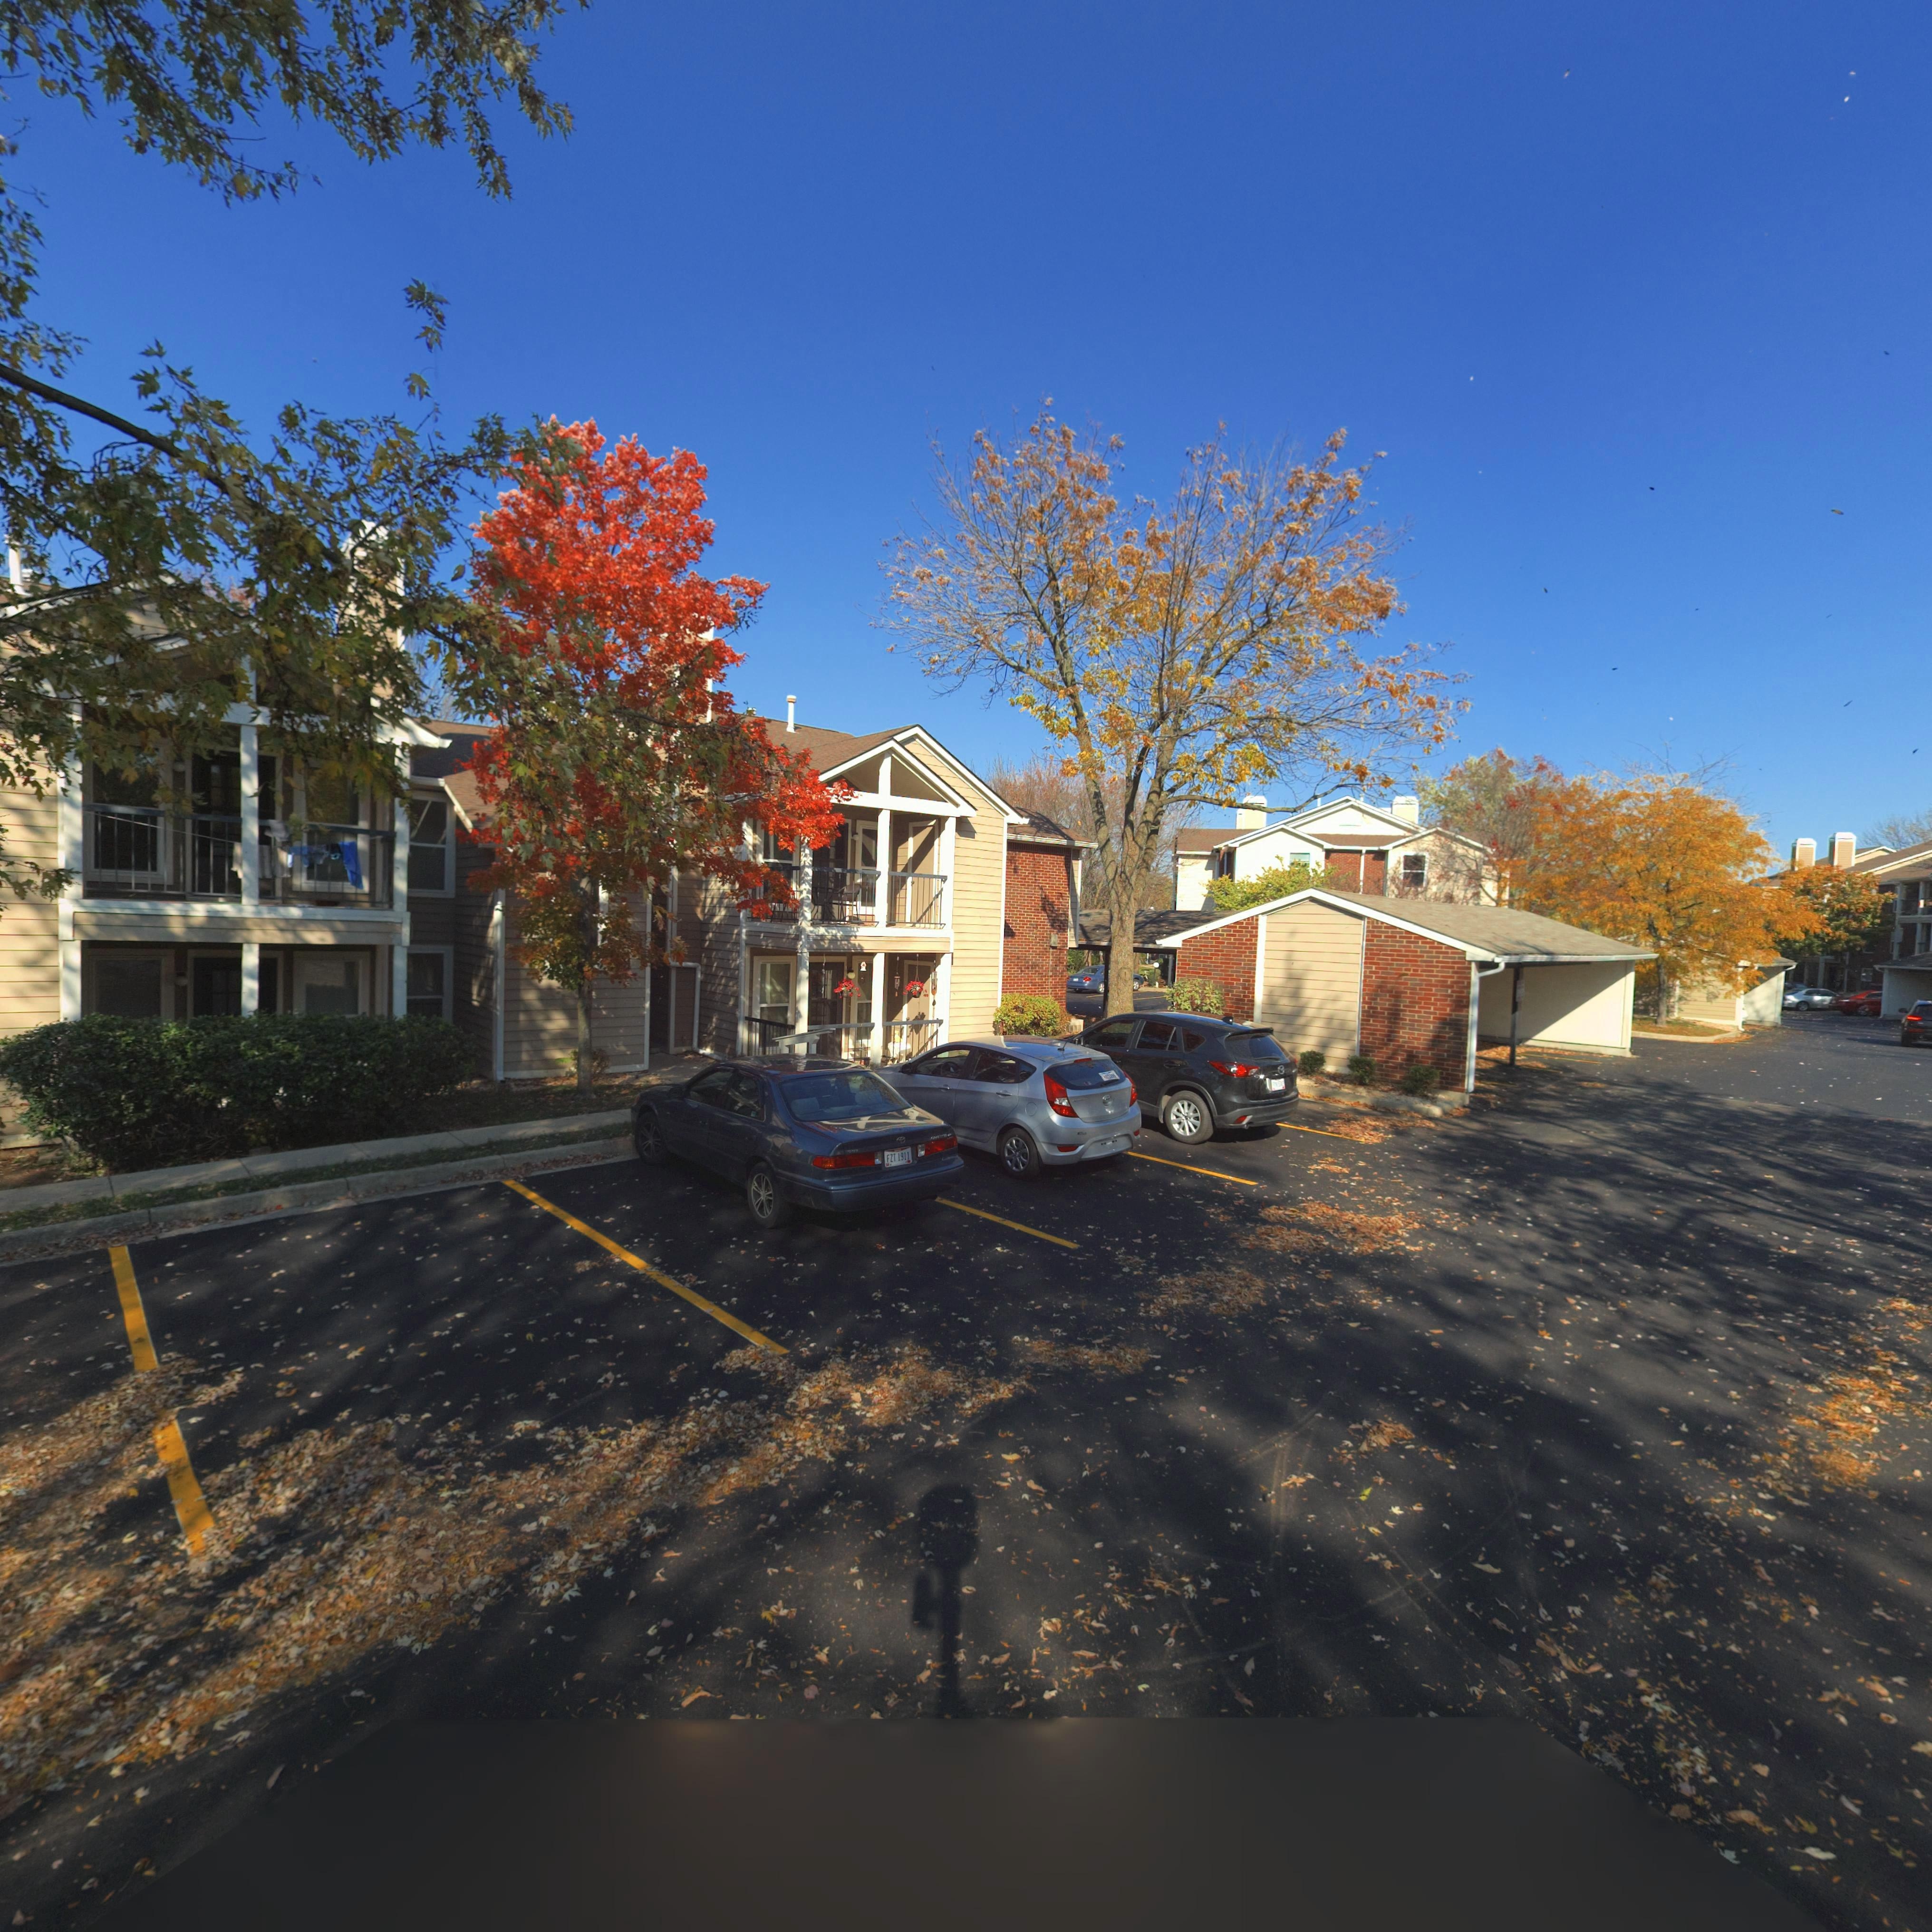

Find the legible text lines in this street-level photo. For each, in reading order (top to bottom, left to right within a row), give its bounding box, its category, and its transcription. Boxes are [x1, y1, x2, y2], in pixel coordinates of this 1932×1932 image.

[886, 1150, 910, 1165] None: FZ* 1911